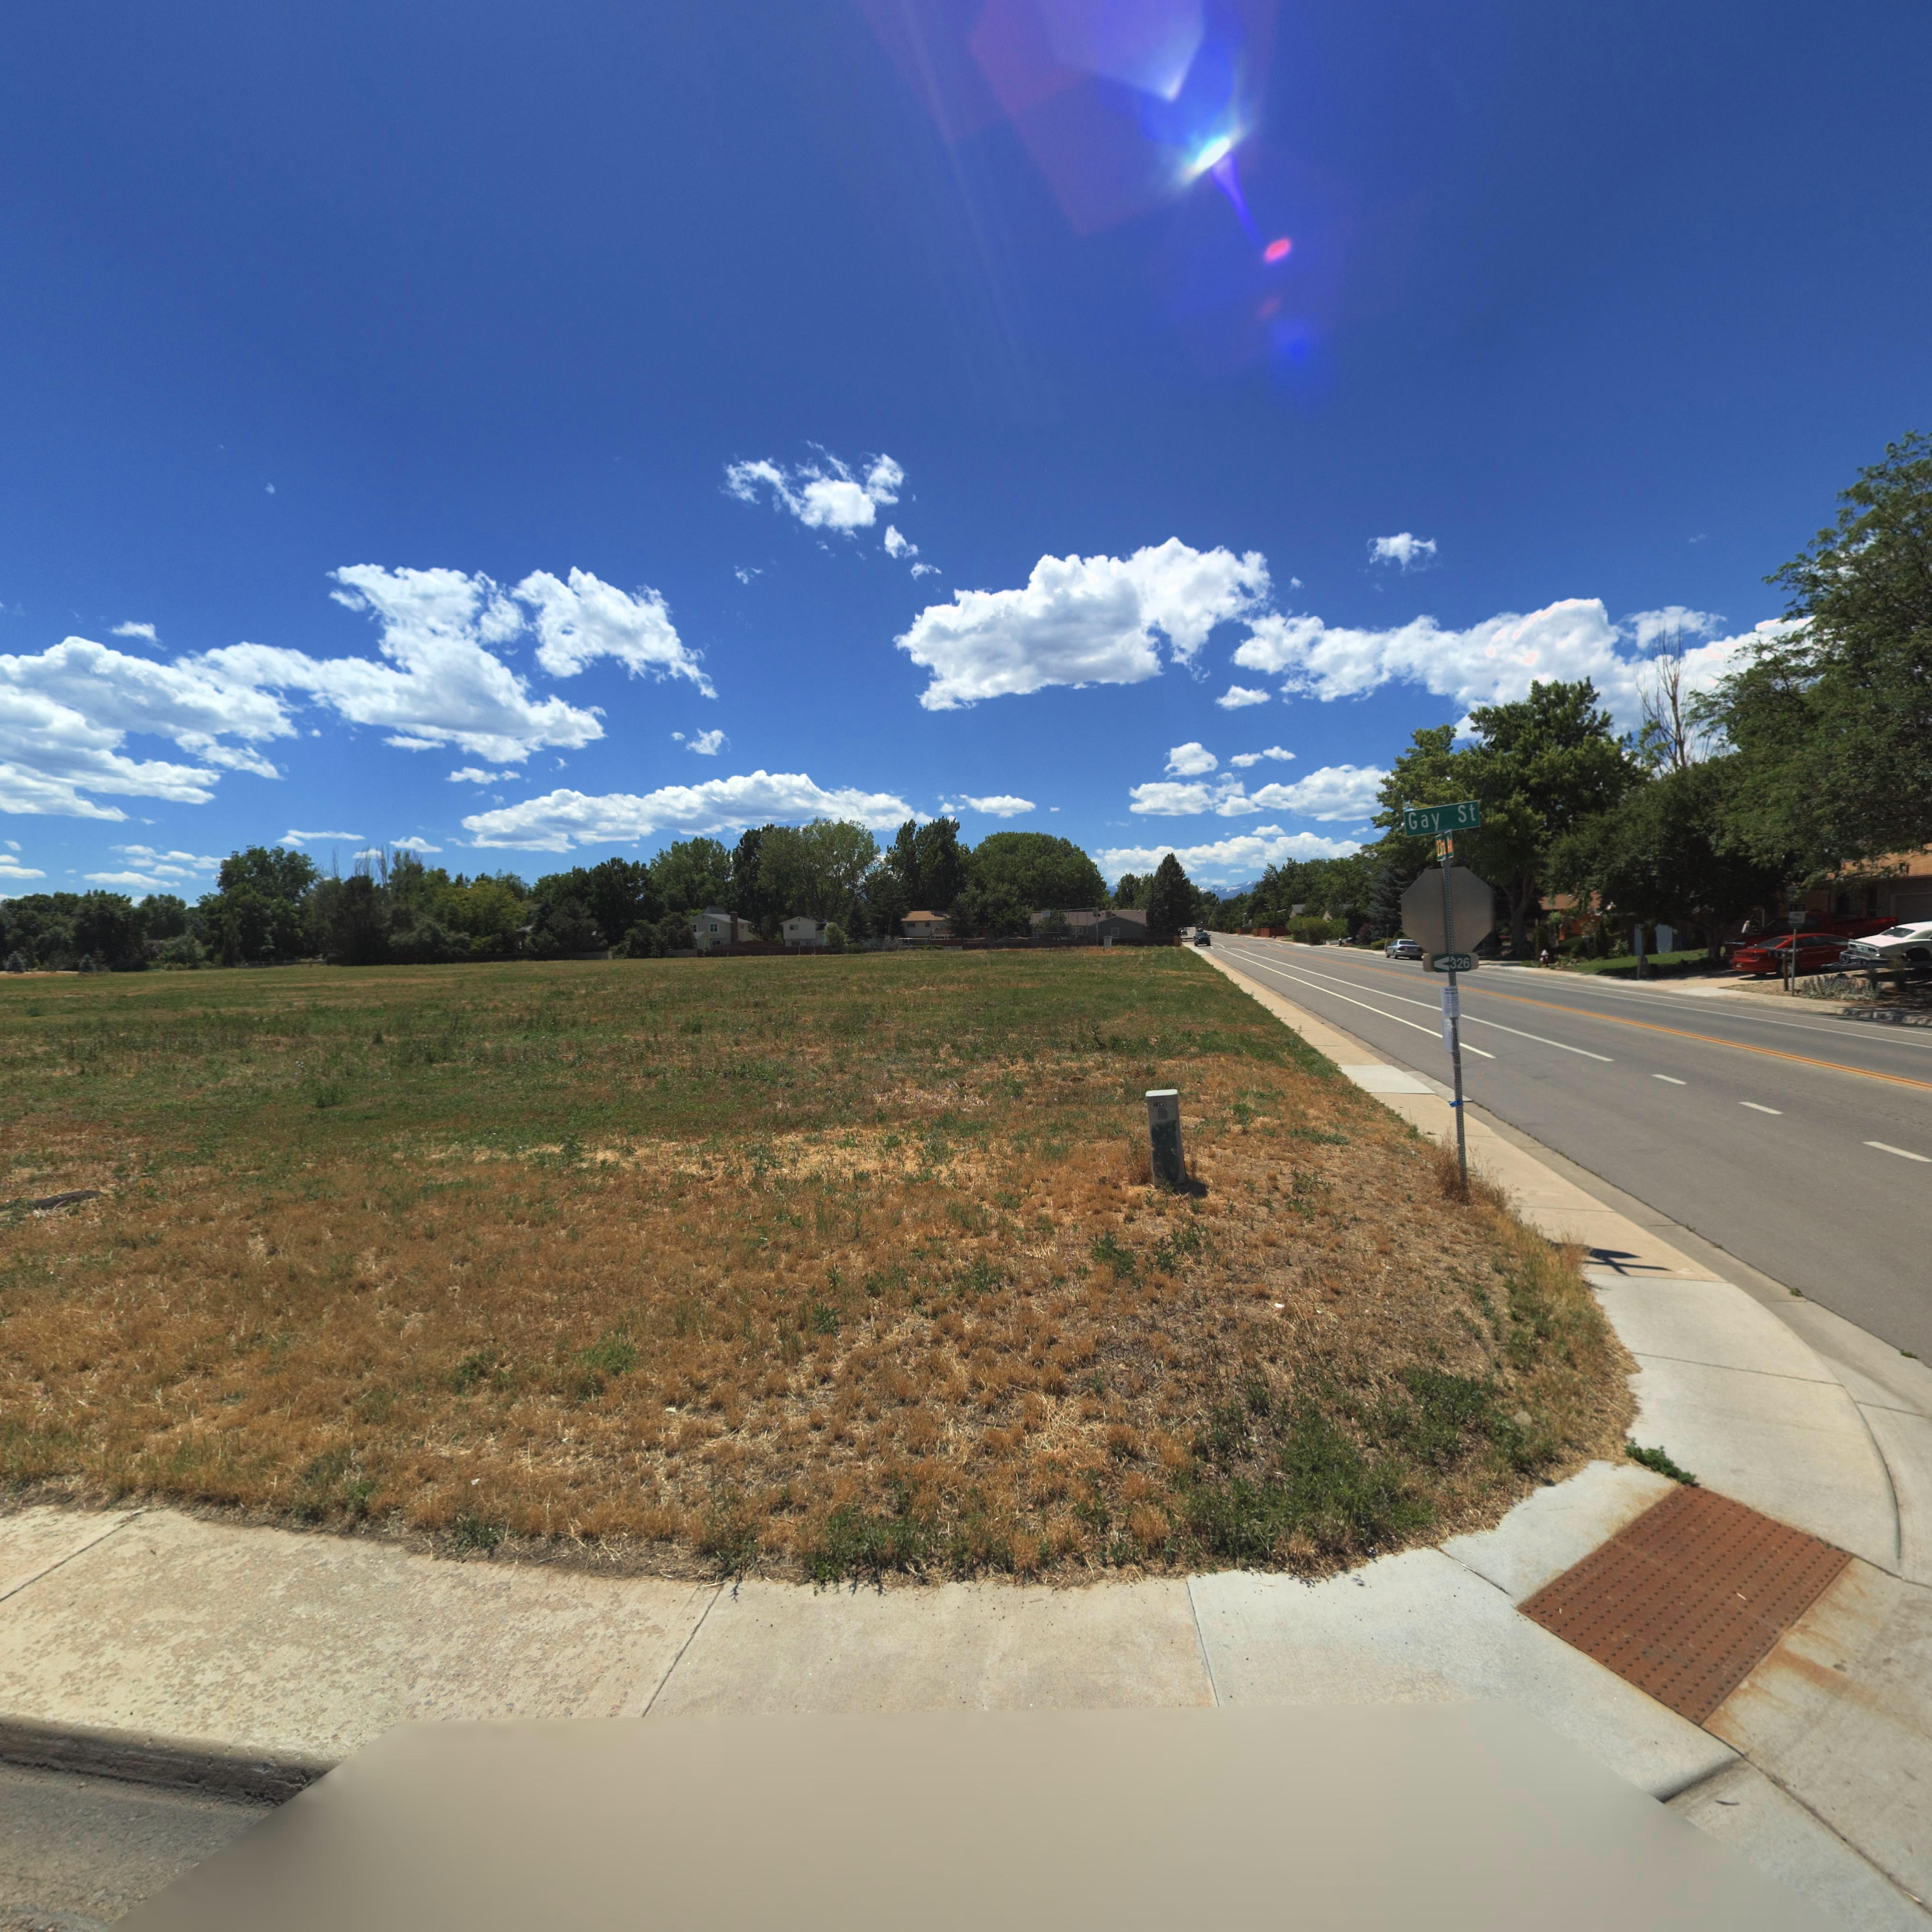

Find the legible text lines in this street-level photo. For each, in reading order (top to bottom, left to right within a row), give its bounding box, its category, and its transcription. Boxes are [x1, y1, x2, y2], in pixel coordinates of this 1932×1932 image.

[1408, 803, 1476, 831] StreetName: Gay St
[1434, 835, 1453, 857] StreetName: 23rd Av